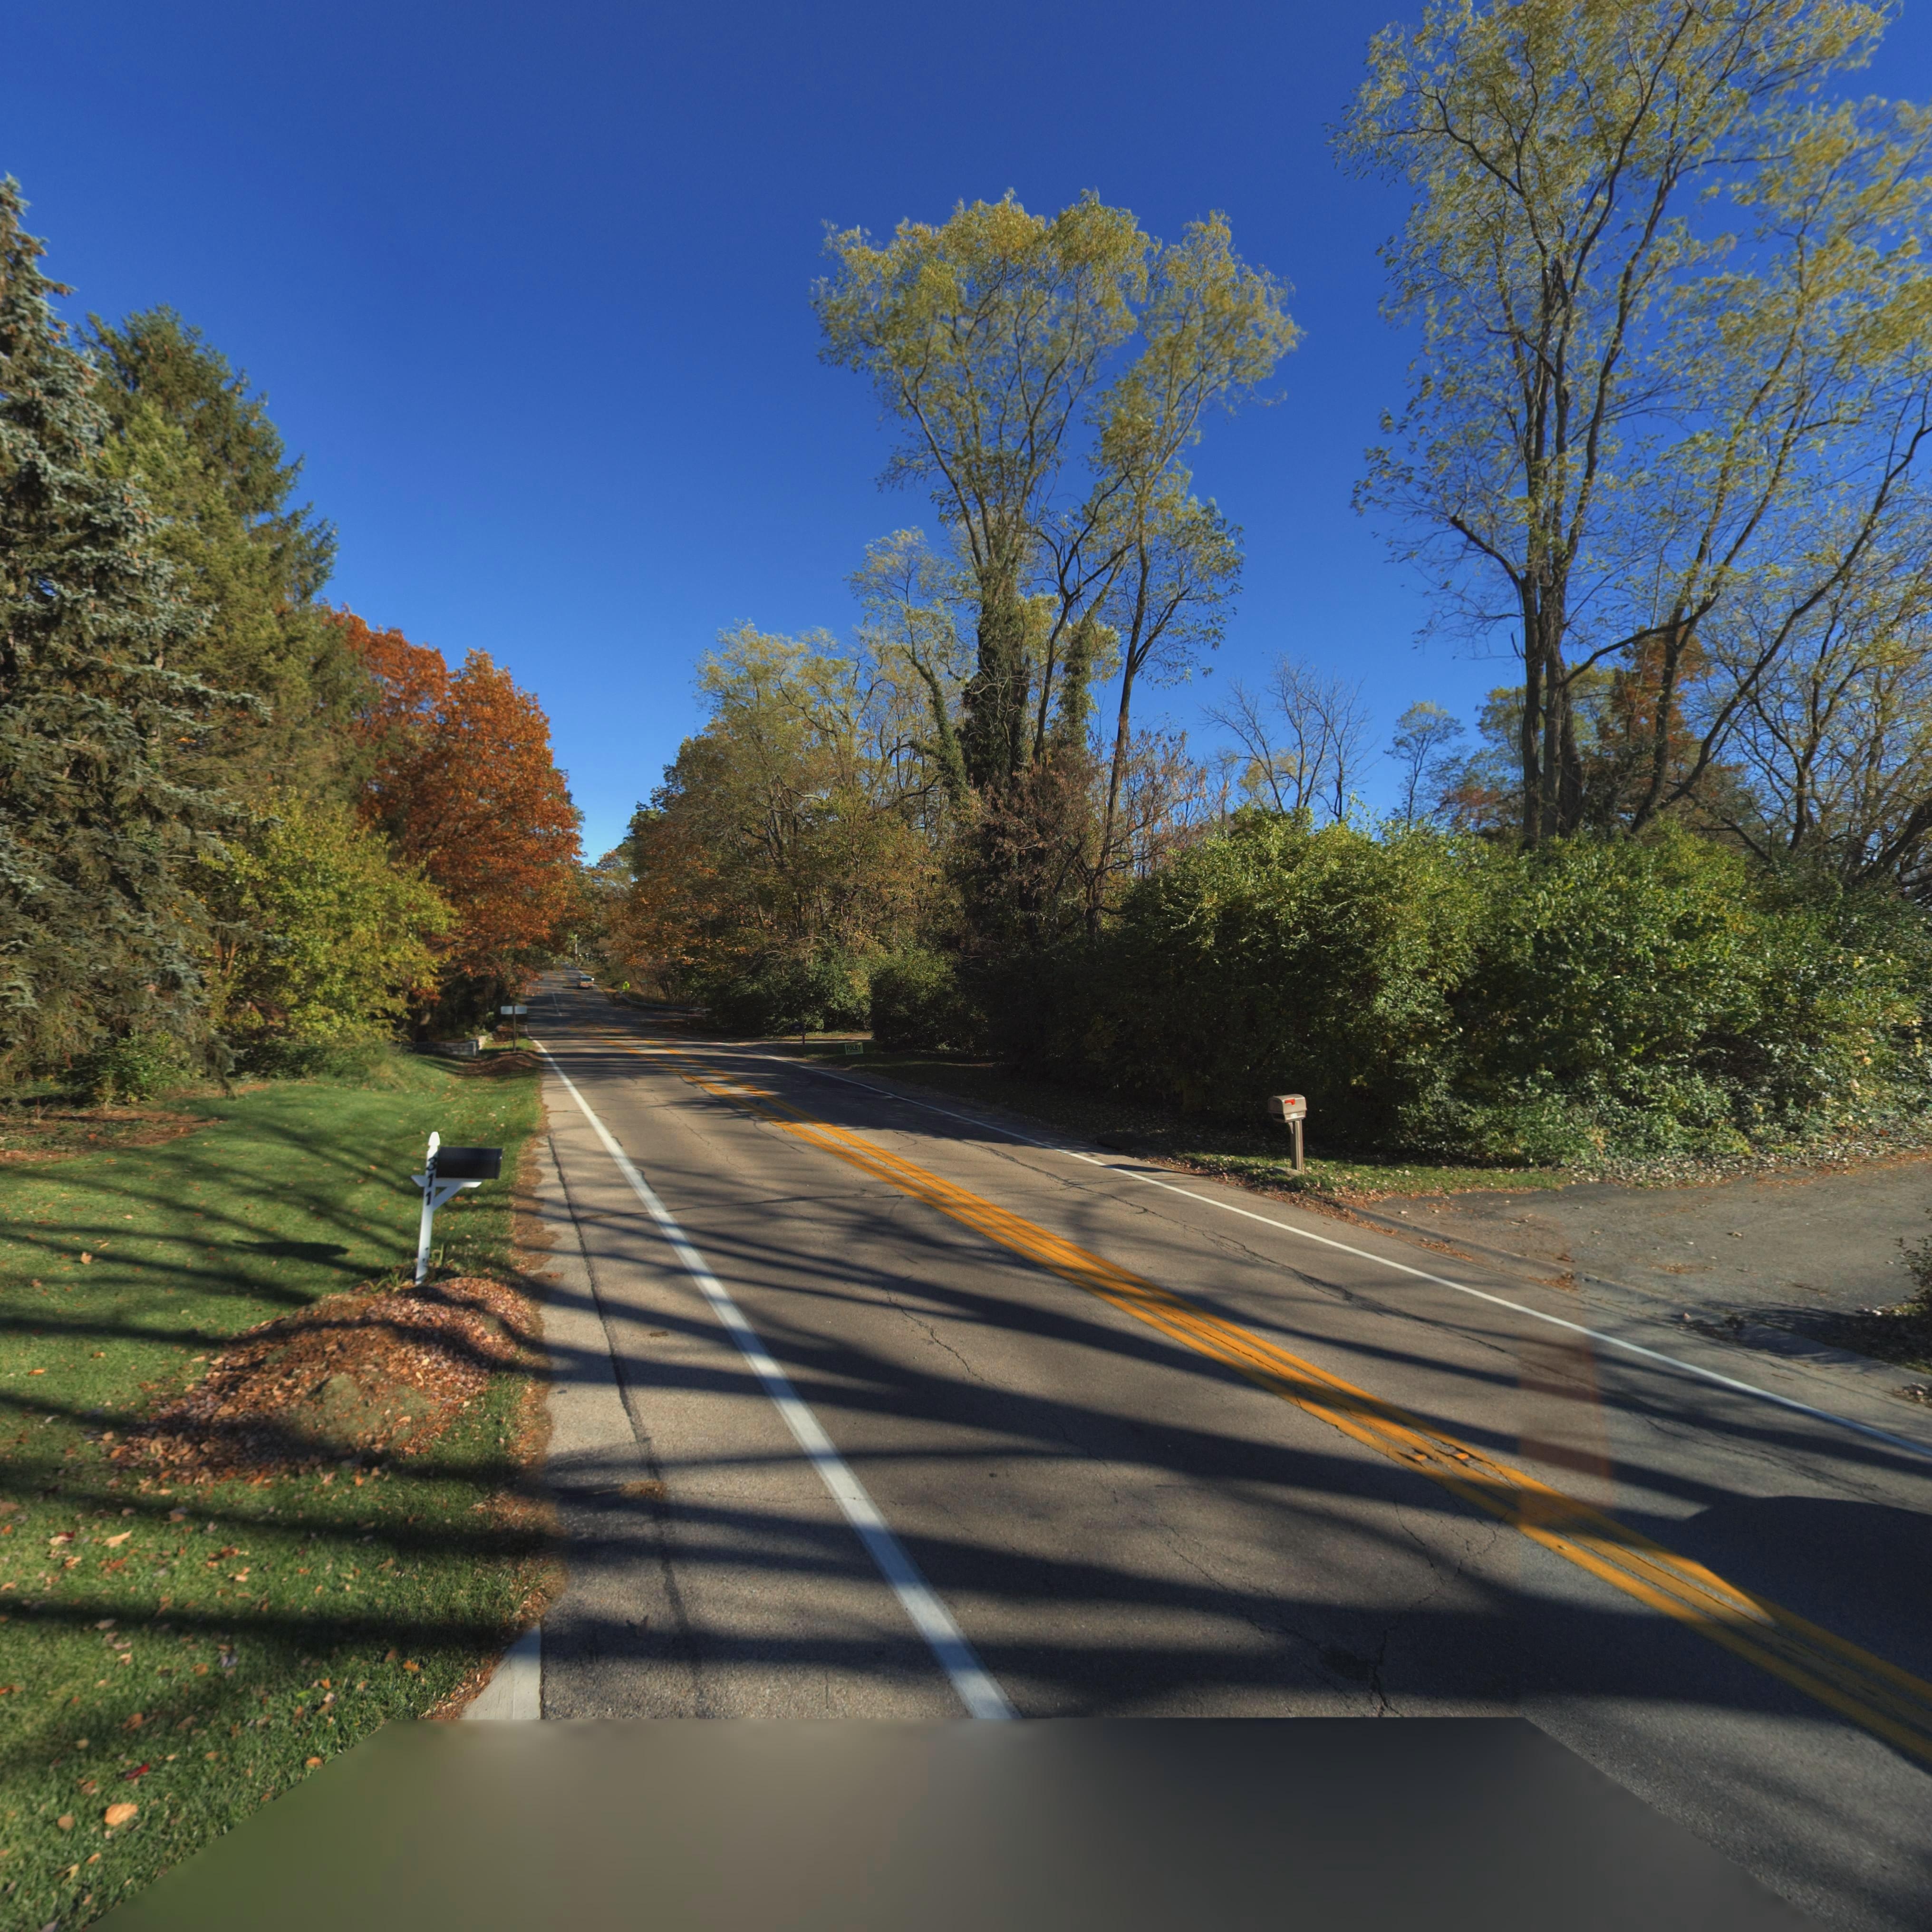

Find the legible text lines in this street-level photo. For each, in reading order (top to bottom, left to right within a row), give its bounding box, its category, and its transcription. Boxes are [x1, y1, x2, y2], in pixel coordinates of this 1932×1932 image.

[425, 1154, 438, 1207] StreetNumber: 311